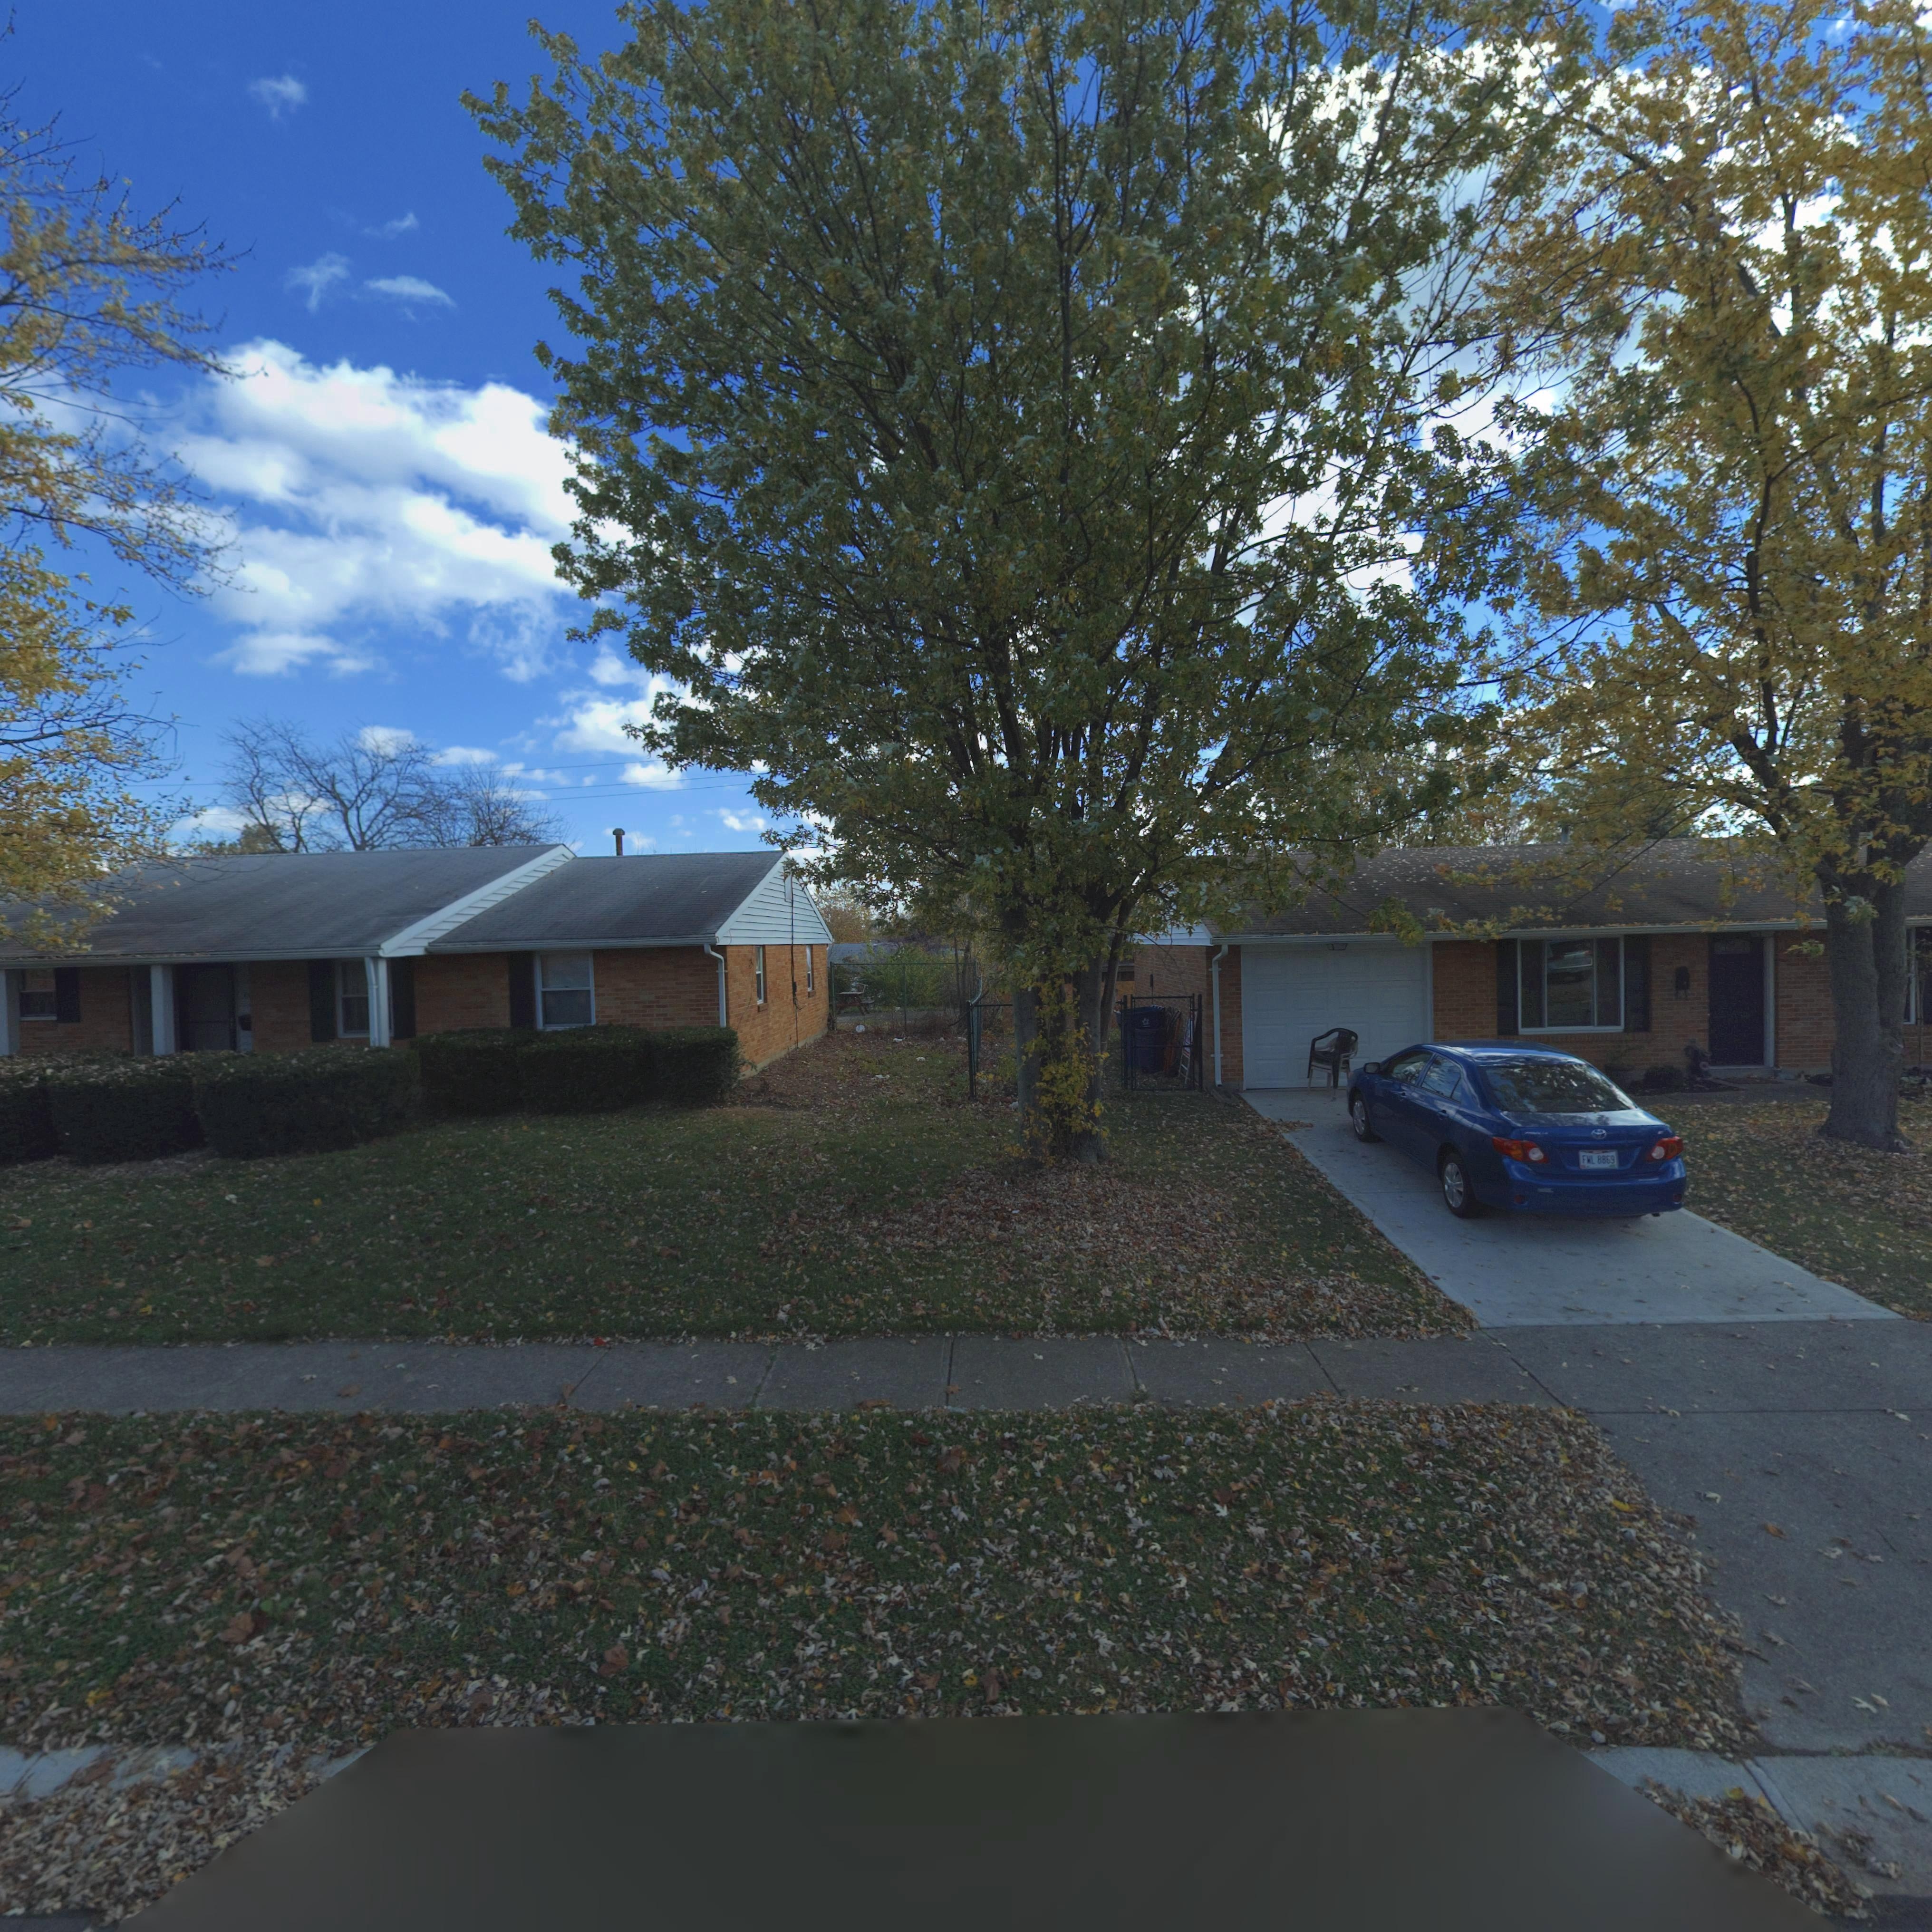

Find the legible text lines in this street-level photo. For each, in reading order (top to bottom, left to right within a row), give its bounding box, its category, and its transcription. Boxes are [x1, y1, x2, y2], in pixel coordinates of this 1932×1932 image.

[235, 990, 251, 997] StreetNumber: 7***